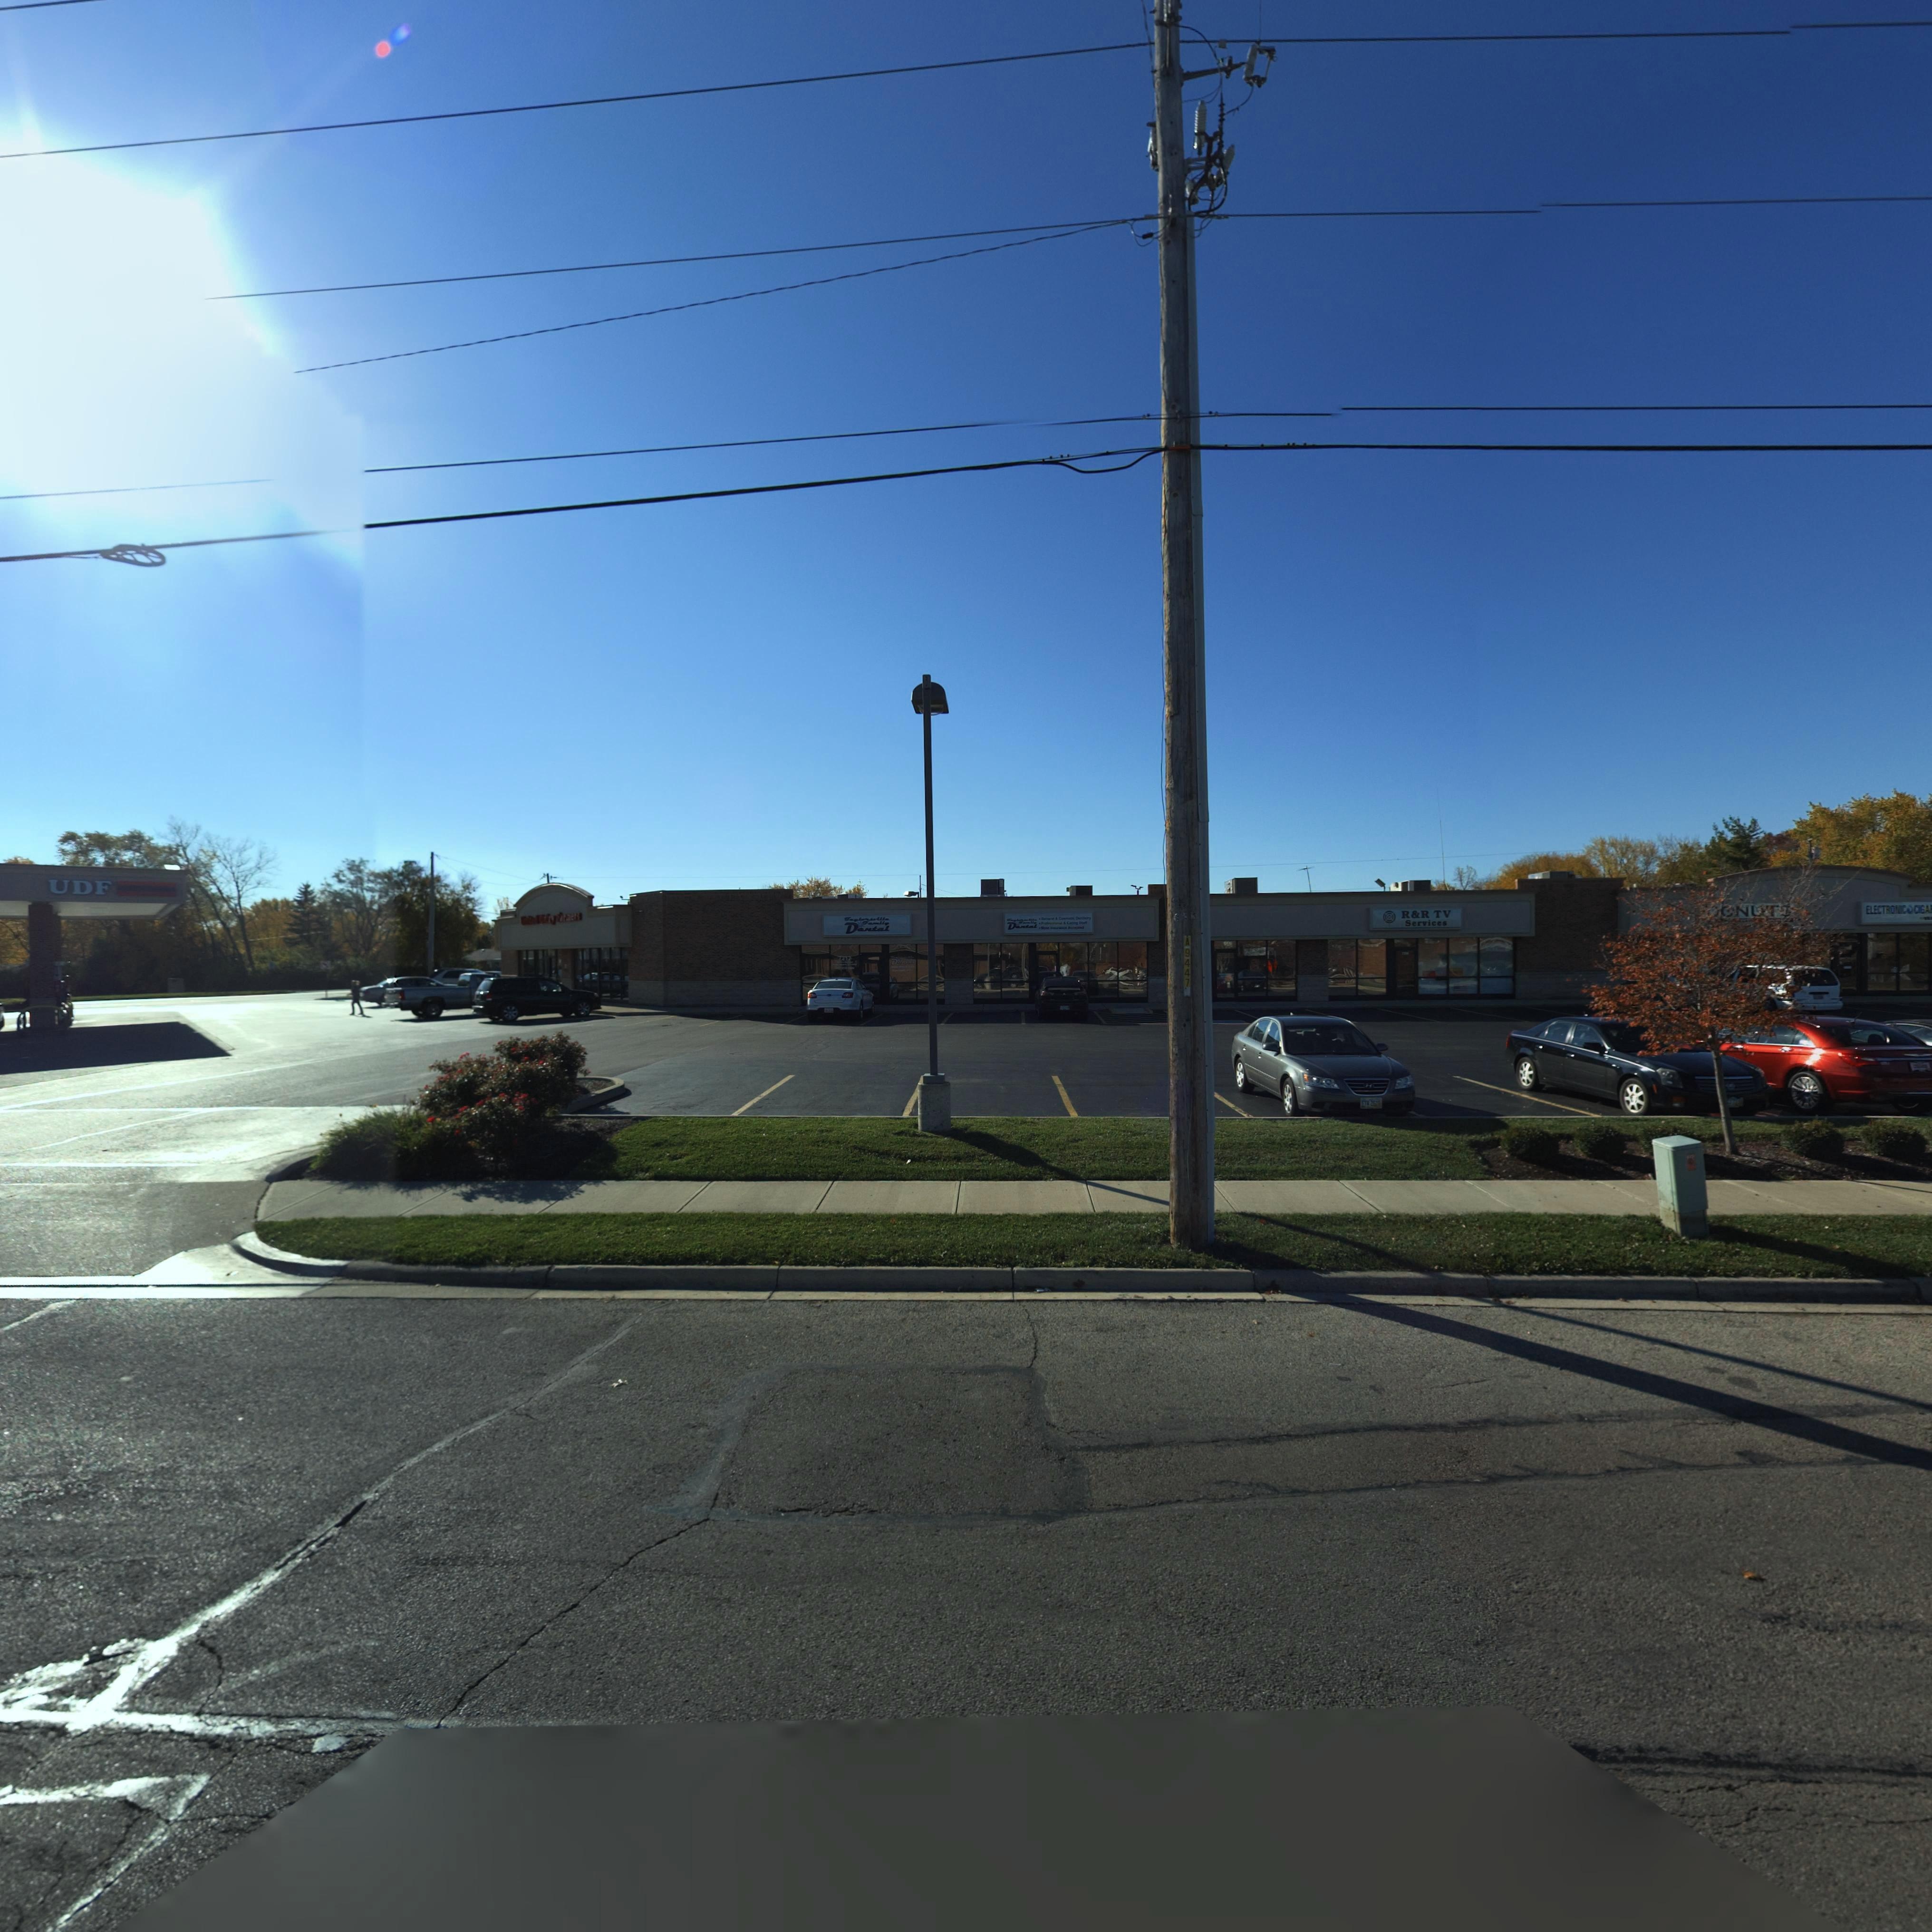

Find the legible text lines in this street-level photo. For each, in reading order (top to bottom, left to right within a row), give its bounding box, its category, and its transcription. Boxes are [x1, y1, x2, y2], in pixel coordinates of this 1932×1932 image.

[556, 912, 581, 922] BusinessName: Far*ers
[1400, 909, 1452, 919] BusinessName: R&R TV
[1735, 905, 1749, 918] BusinessName: N
[1864, 904, 1931, 915] BusinessName: ELECTRONIC*CIGA
[843, 921, 890, 935] BusinessName: Dental
[1007, 921, 1038, 930] BusinessName: Dental
[1404, 919, 1448, 927] BusinessName: Services
[837, 955, 852, 961] StreetNumber: 7212